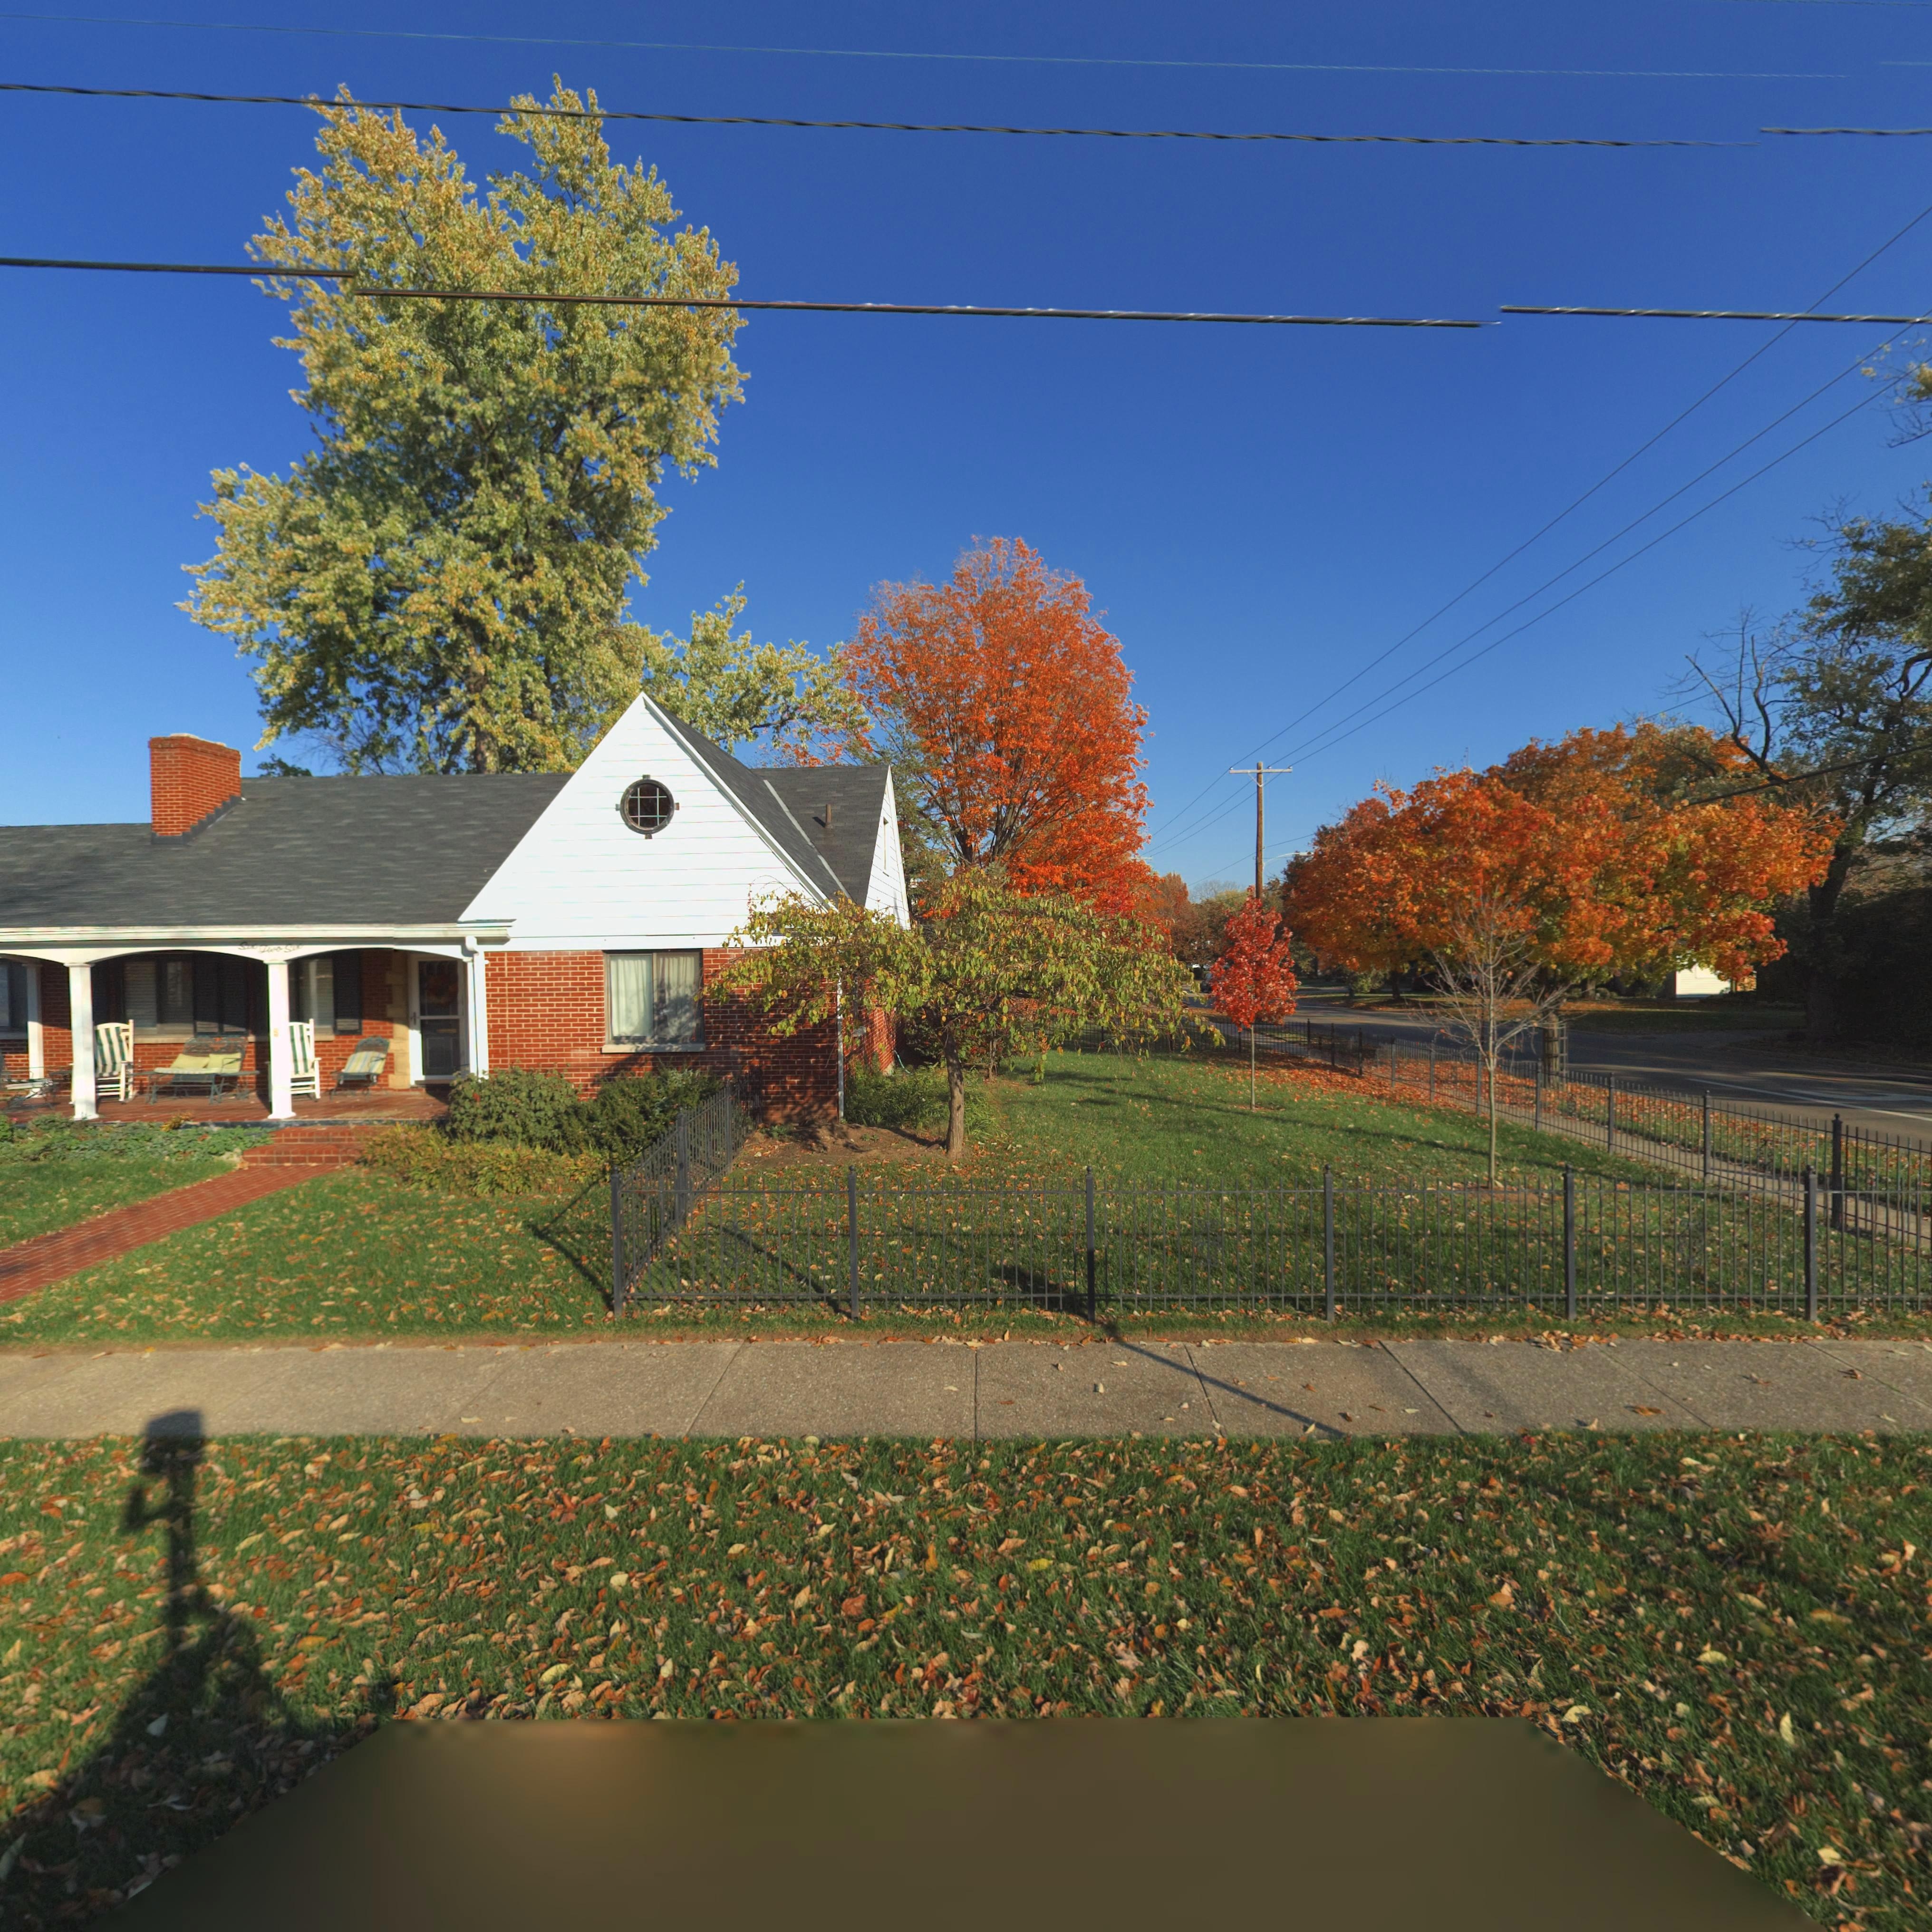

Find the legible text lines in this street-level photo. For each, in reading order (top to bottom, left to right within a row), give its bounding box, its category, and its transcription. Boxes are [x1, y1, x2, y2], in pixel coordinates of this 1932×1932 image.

[237, 941, 303, 954] StreetNumber: Six Two Six